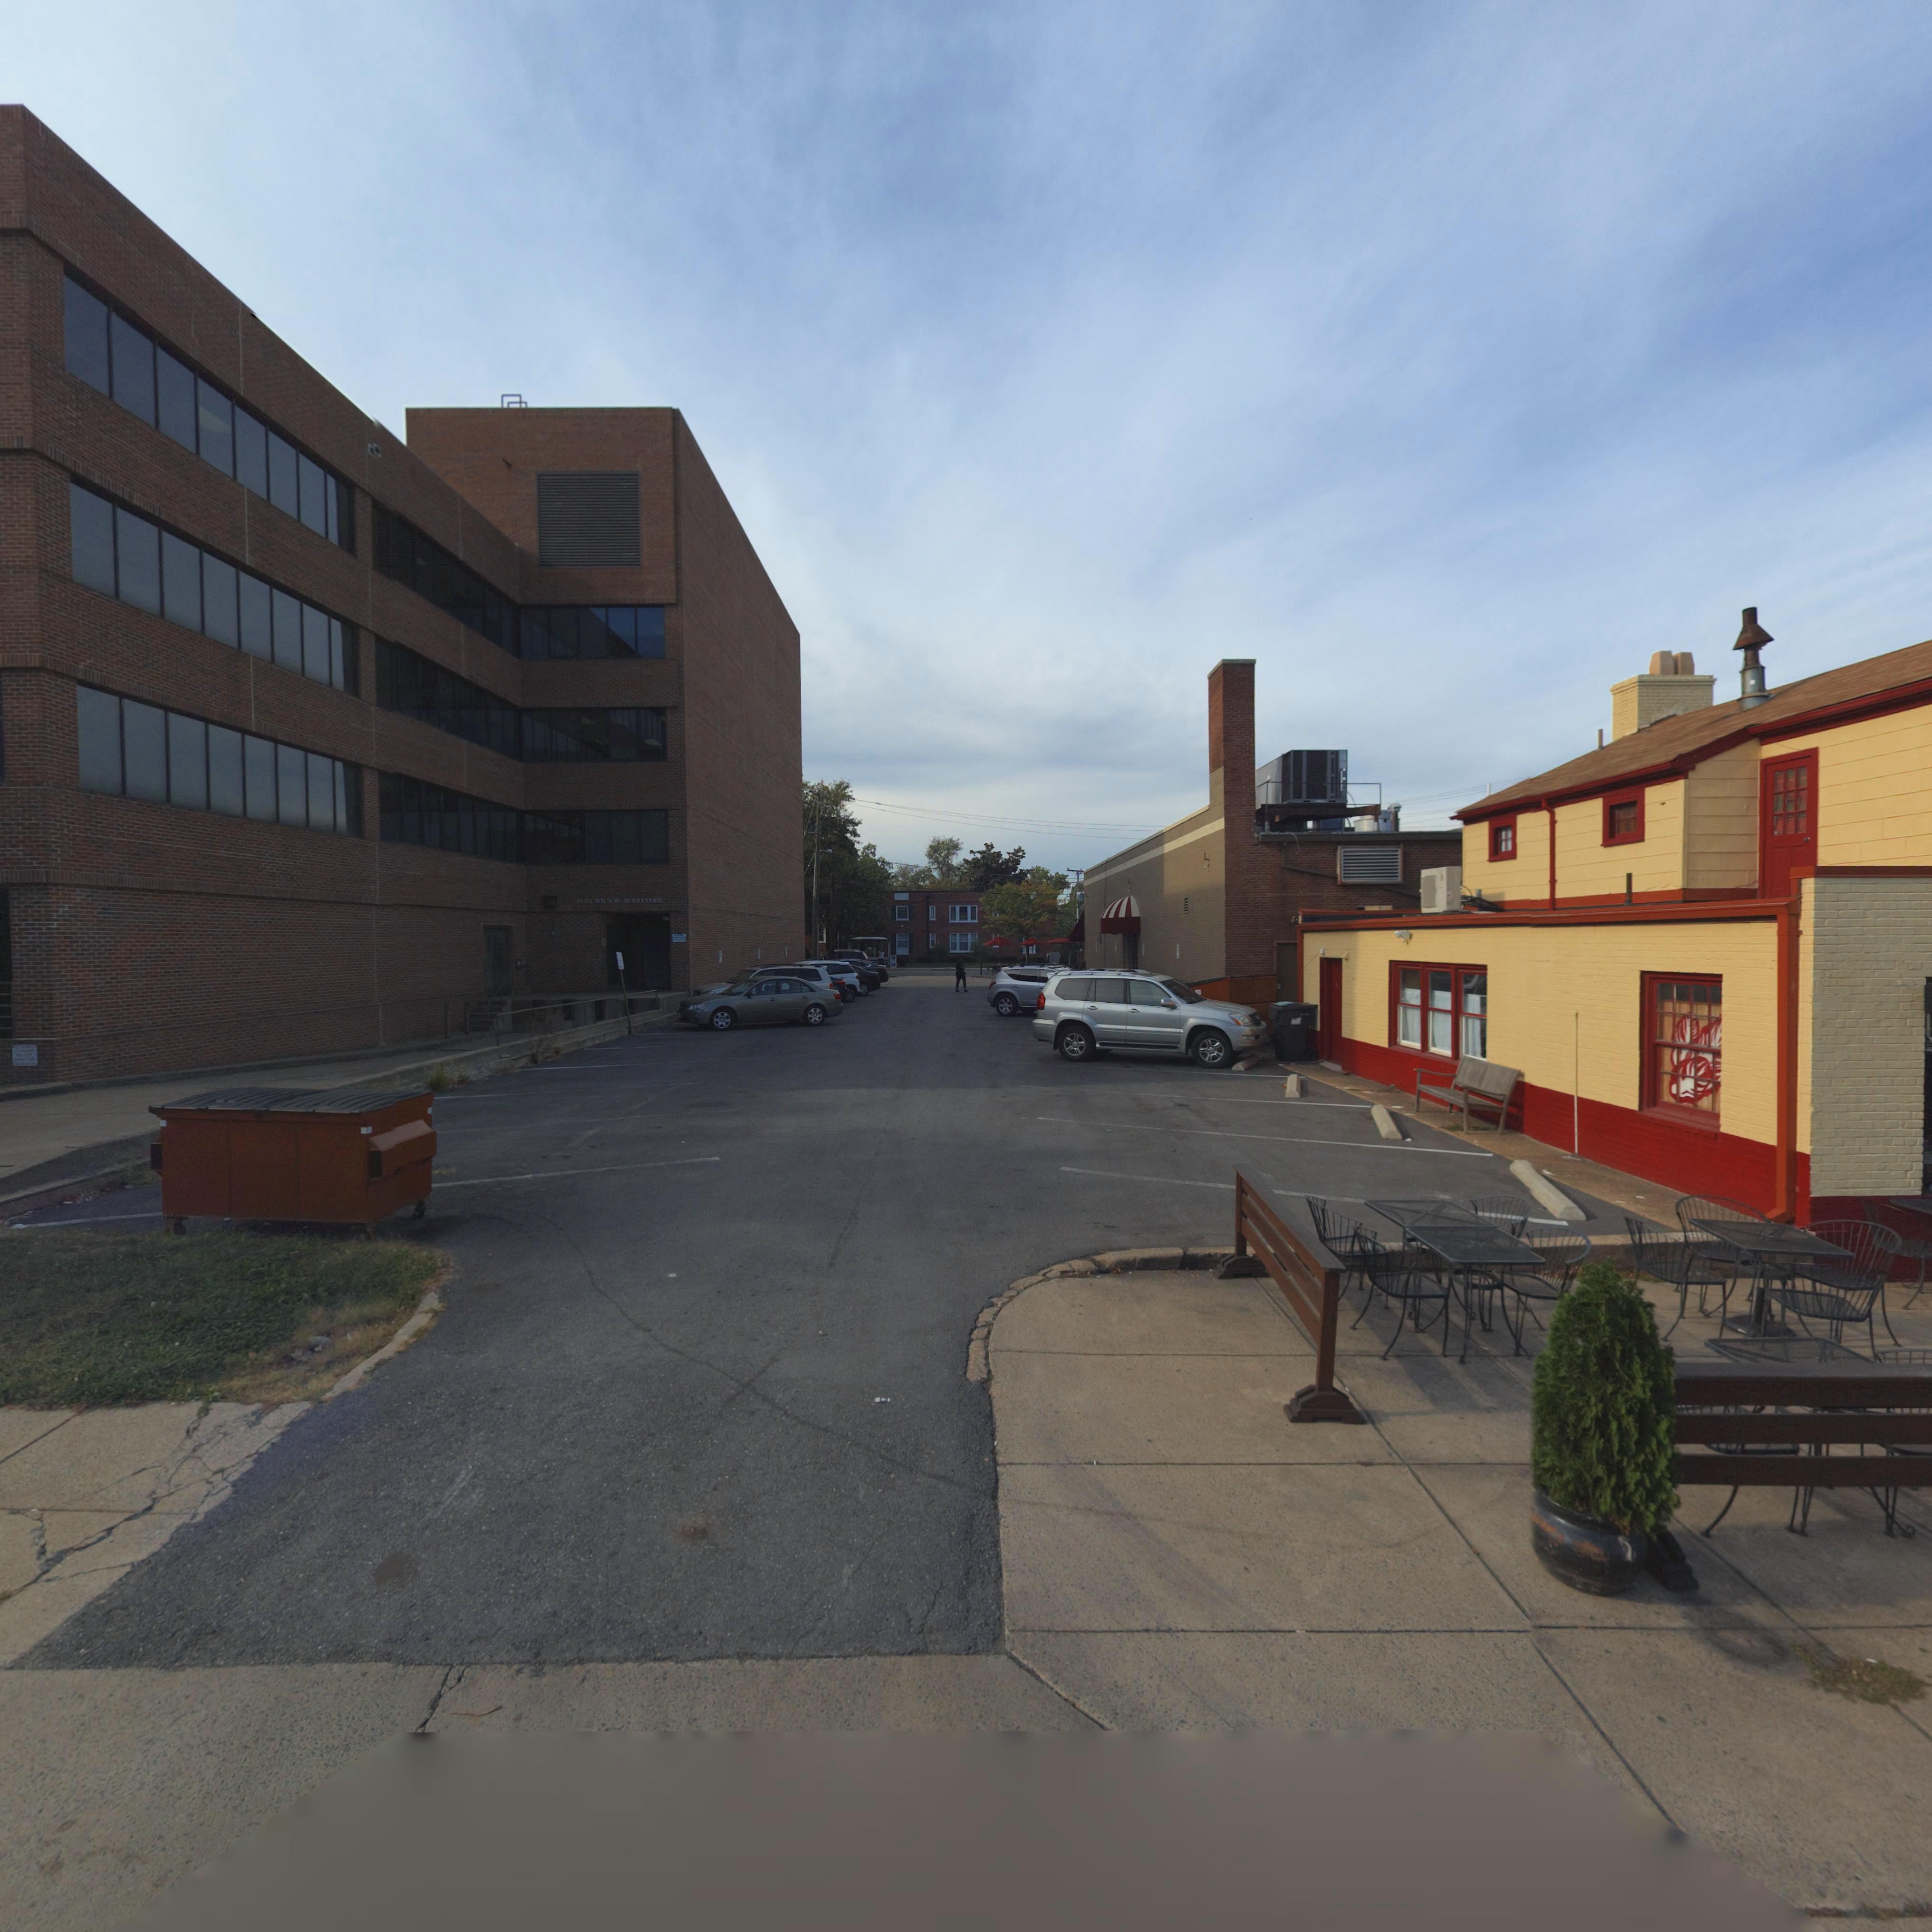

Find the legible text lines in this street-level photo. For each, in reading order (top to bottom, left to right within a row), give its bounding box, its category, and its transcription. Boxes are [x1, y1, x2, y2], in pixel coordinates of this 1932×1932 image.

[593, 897, 663, 905] StreetName: WILSON BOULEVARD